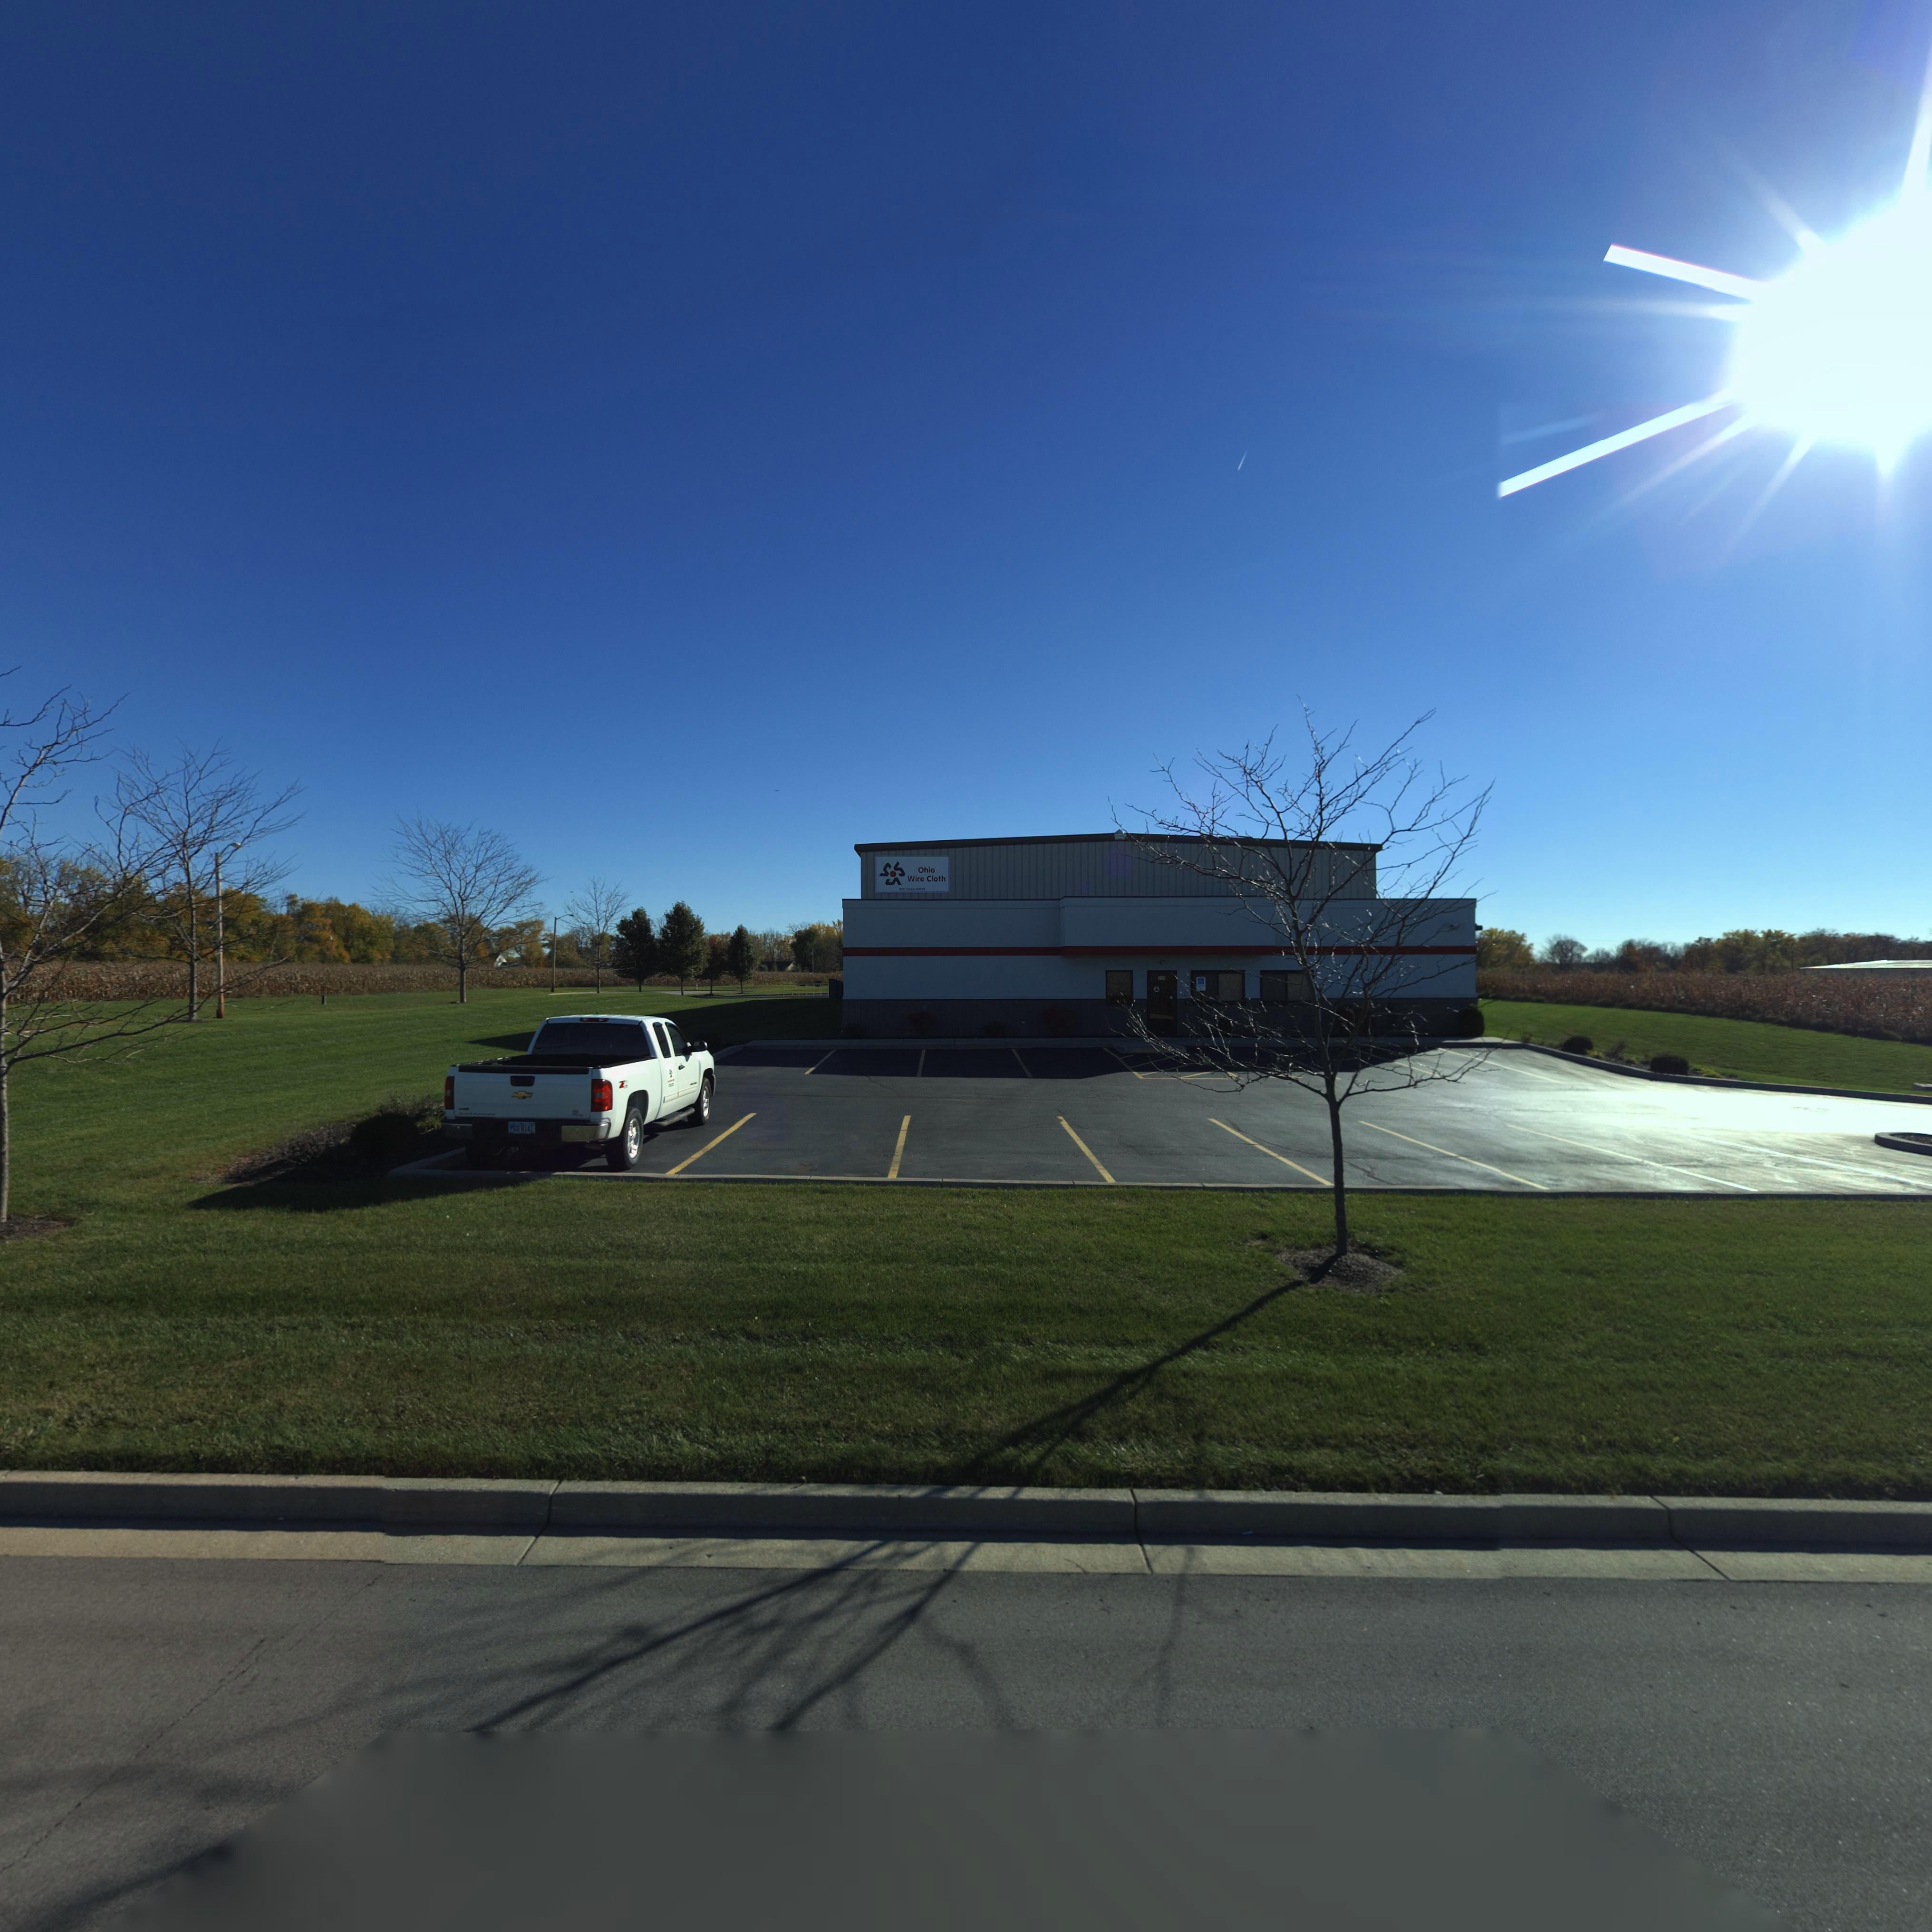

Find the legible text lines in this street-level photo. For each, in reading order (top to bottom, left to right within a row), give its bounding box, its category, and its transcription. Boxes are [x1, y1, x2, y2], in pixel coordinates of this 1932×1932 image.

[1158, 976, 1166, 981] StreetNumber: 201